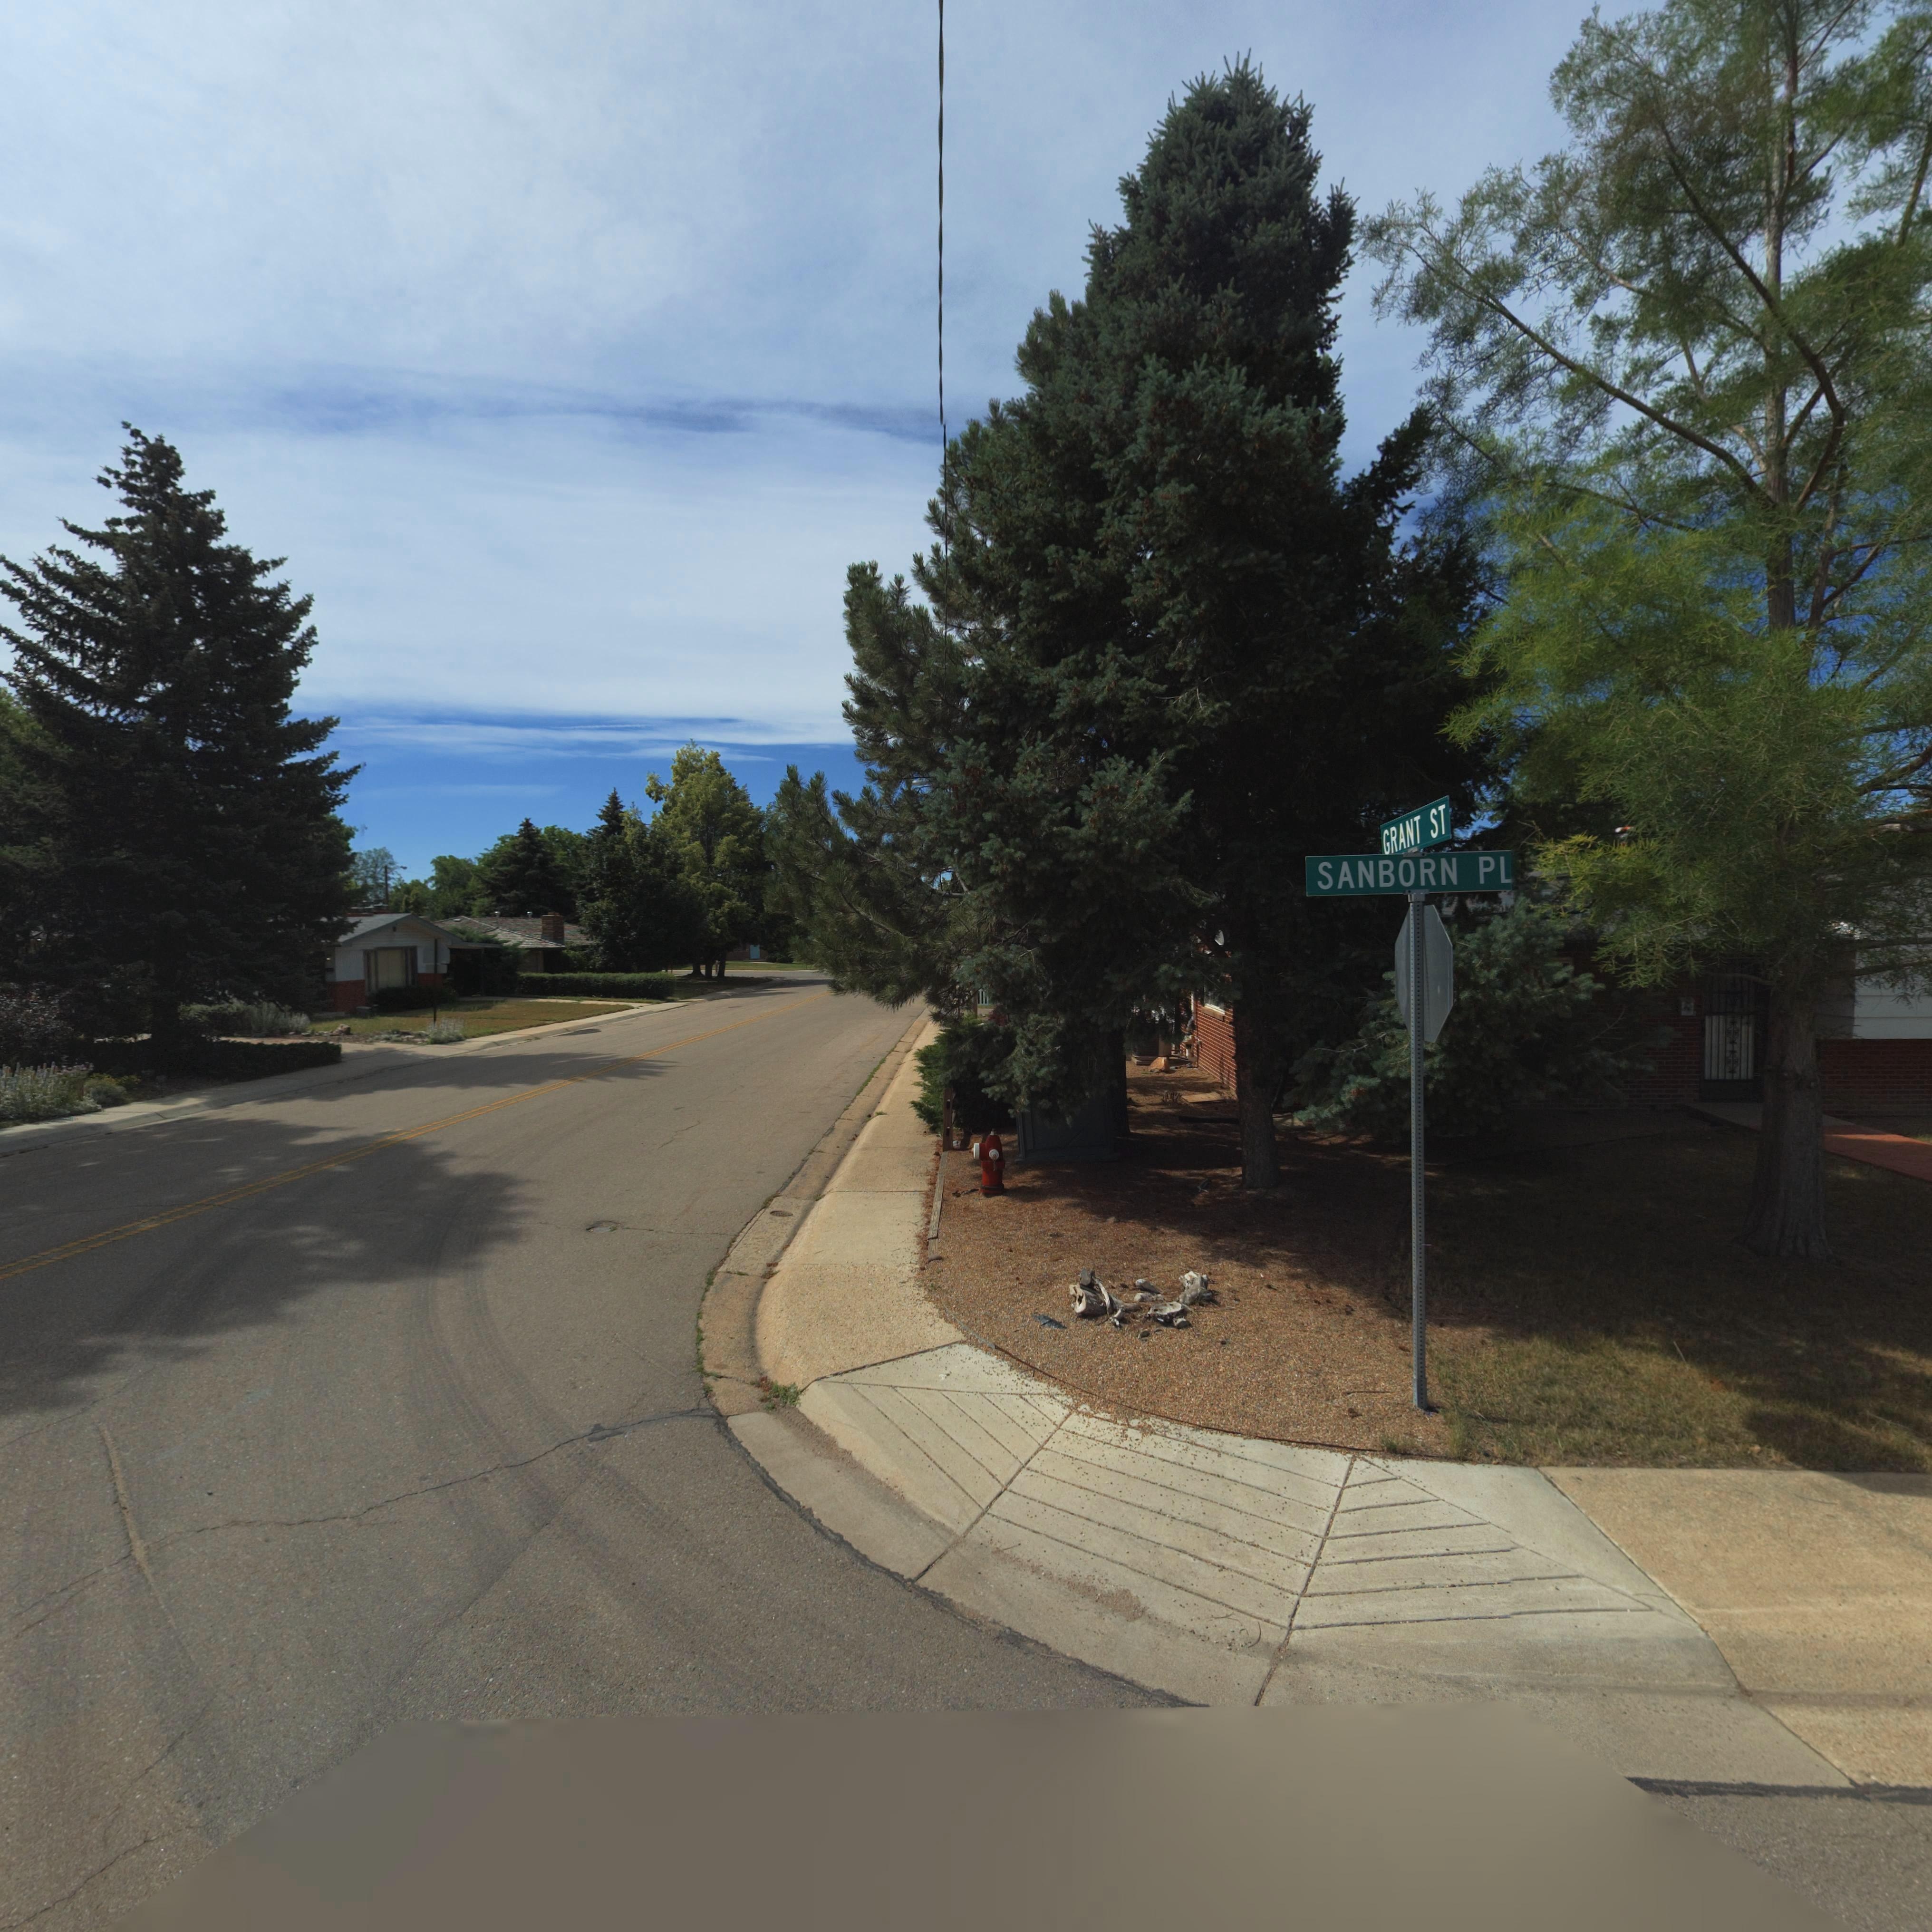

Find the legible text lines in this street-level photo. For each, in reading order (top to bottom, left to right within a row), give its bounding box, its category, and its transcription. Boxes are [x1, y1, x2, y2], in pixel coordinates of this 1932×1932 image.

[1382, 803, 1446, 856] StreetName: GRANT ST
[1317, 856, 1513, 890] StreetName: SANBORN PL